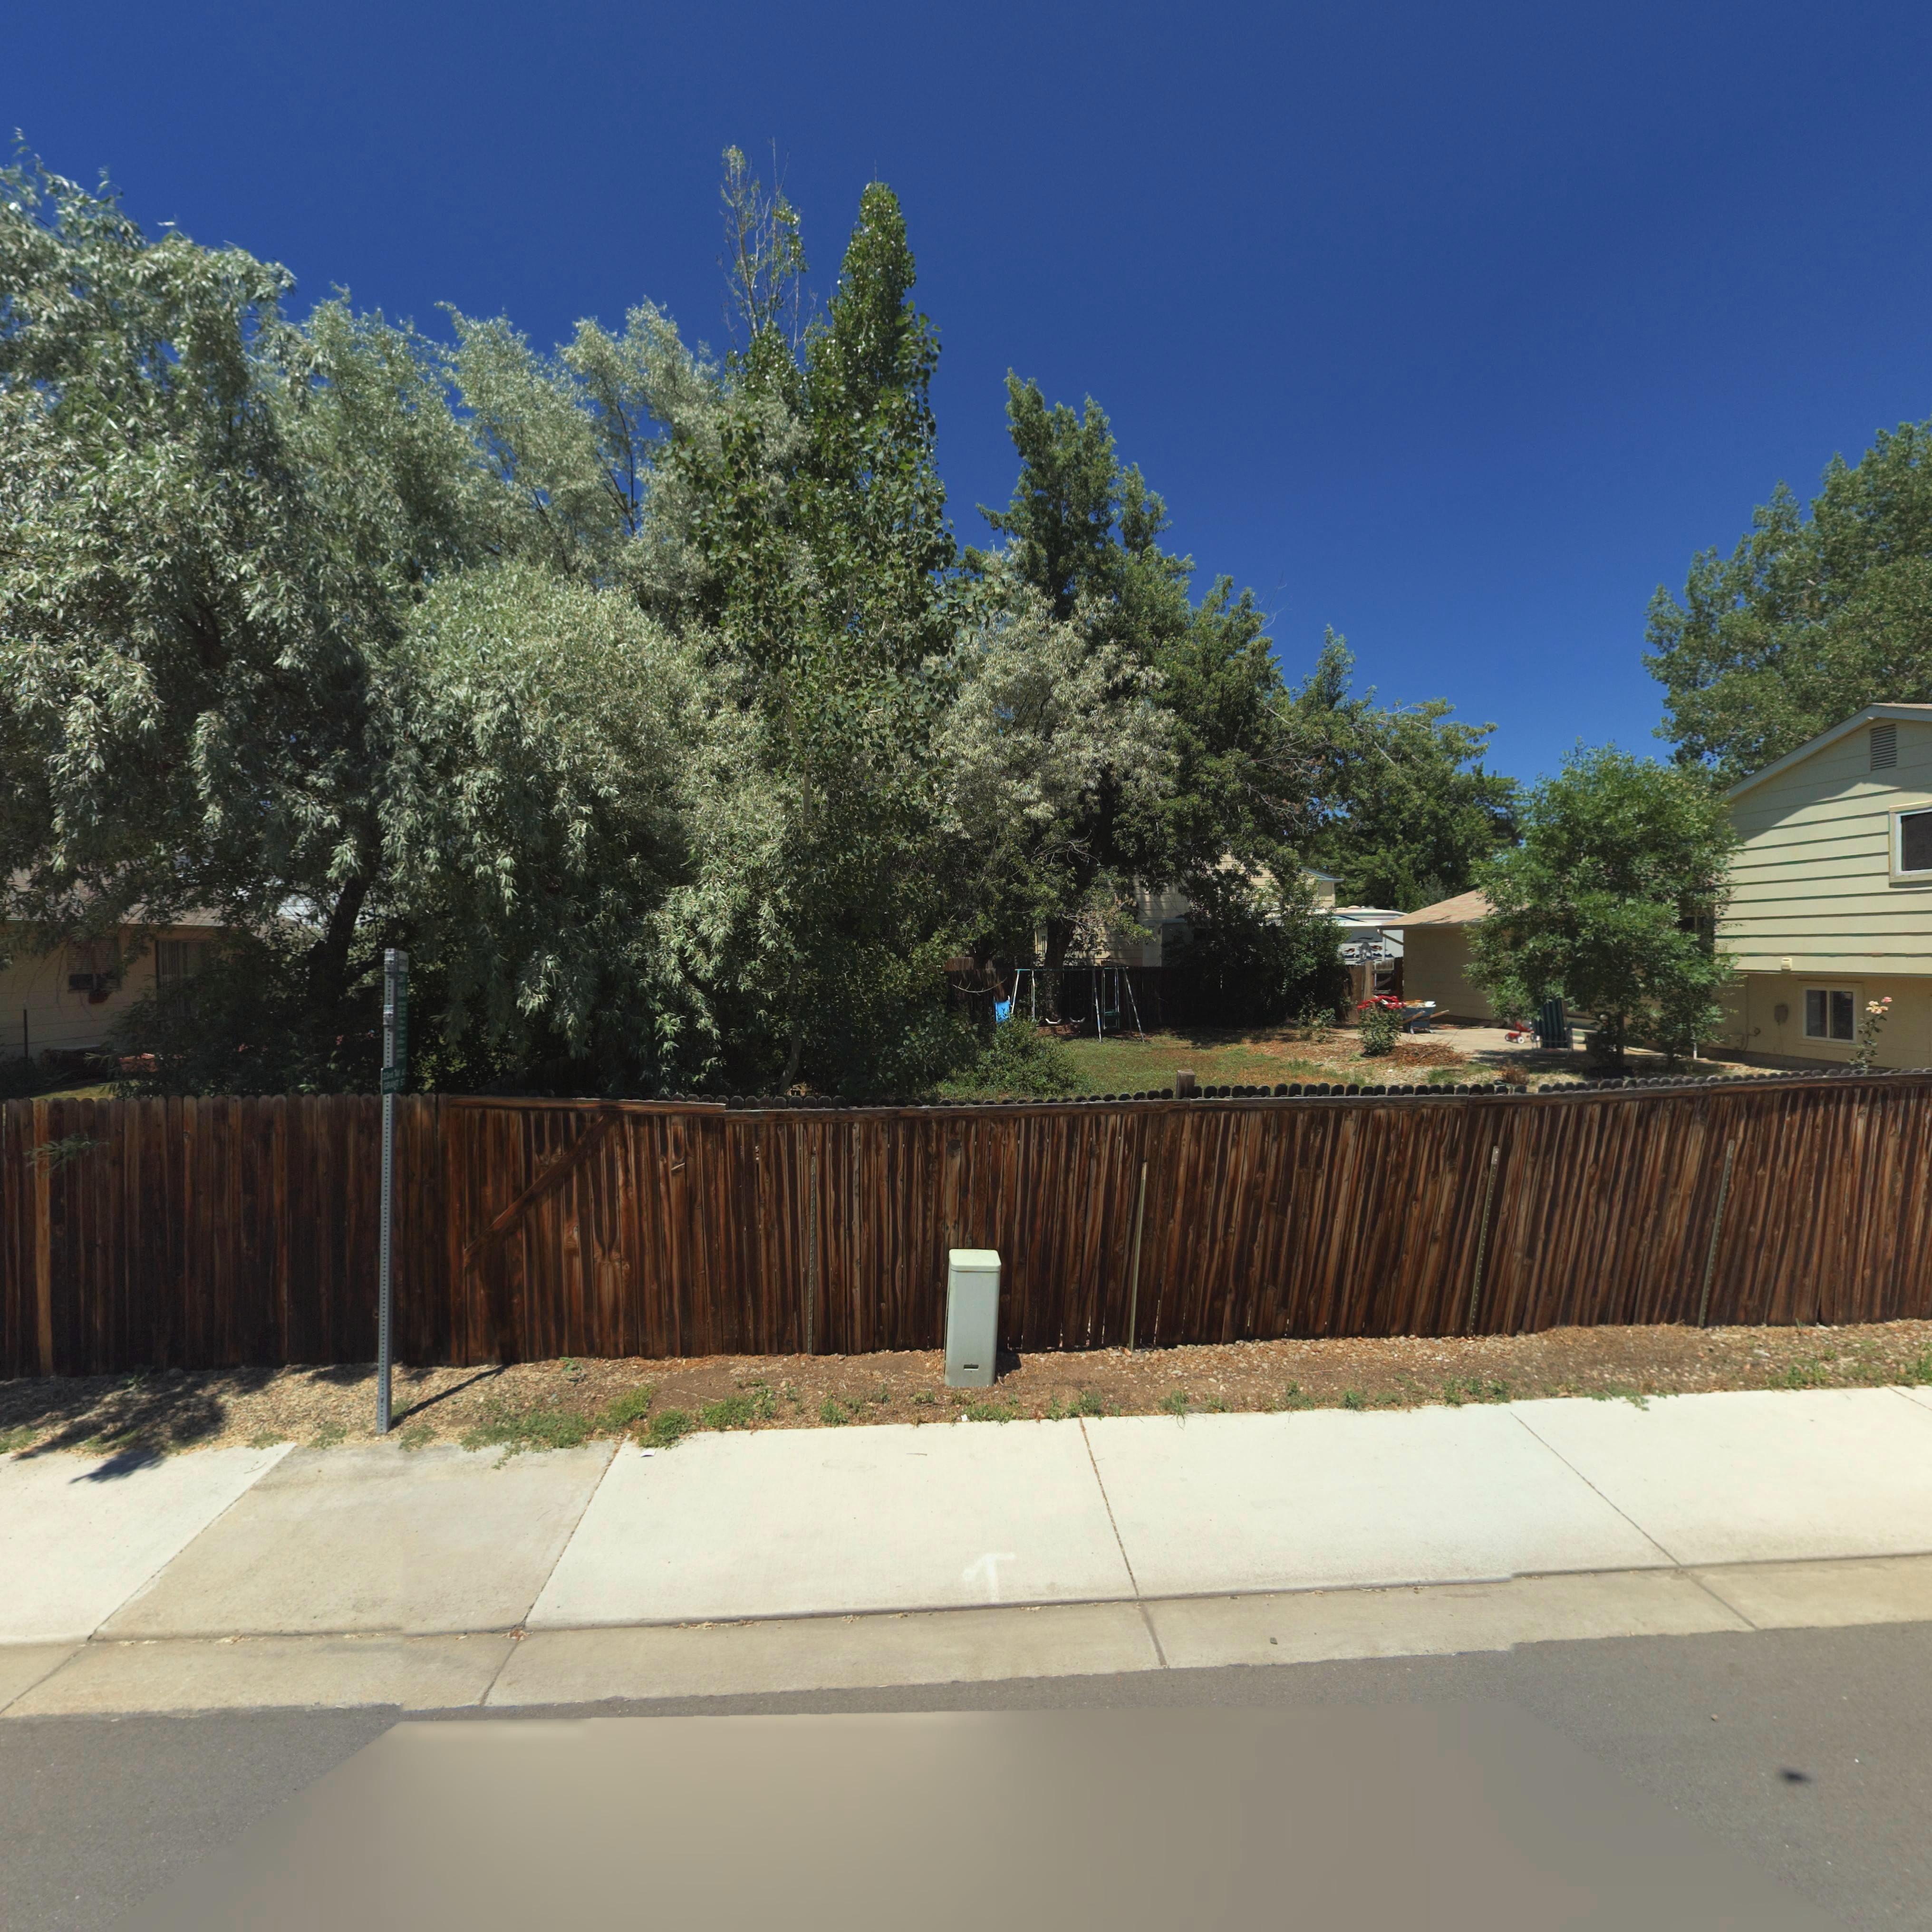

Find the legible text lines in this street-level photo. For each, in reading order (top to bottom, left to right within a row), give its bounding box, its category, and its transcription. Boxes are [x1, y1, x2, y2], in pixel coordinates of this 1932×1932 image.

[383, 1068, 401, 1081] StreetName: 23rd Av
[383, 1077, 406, 1090] StreetName: GRANT ST